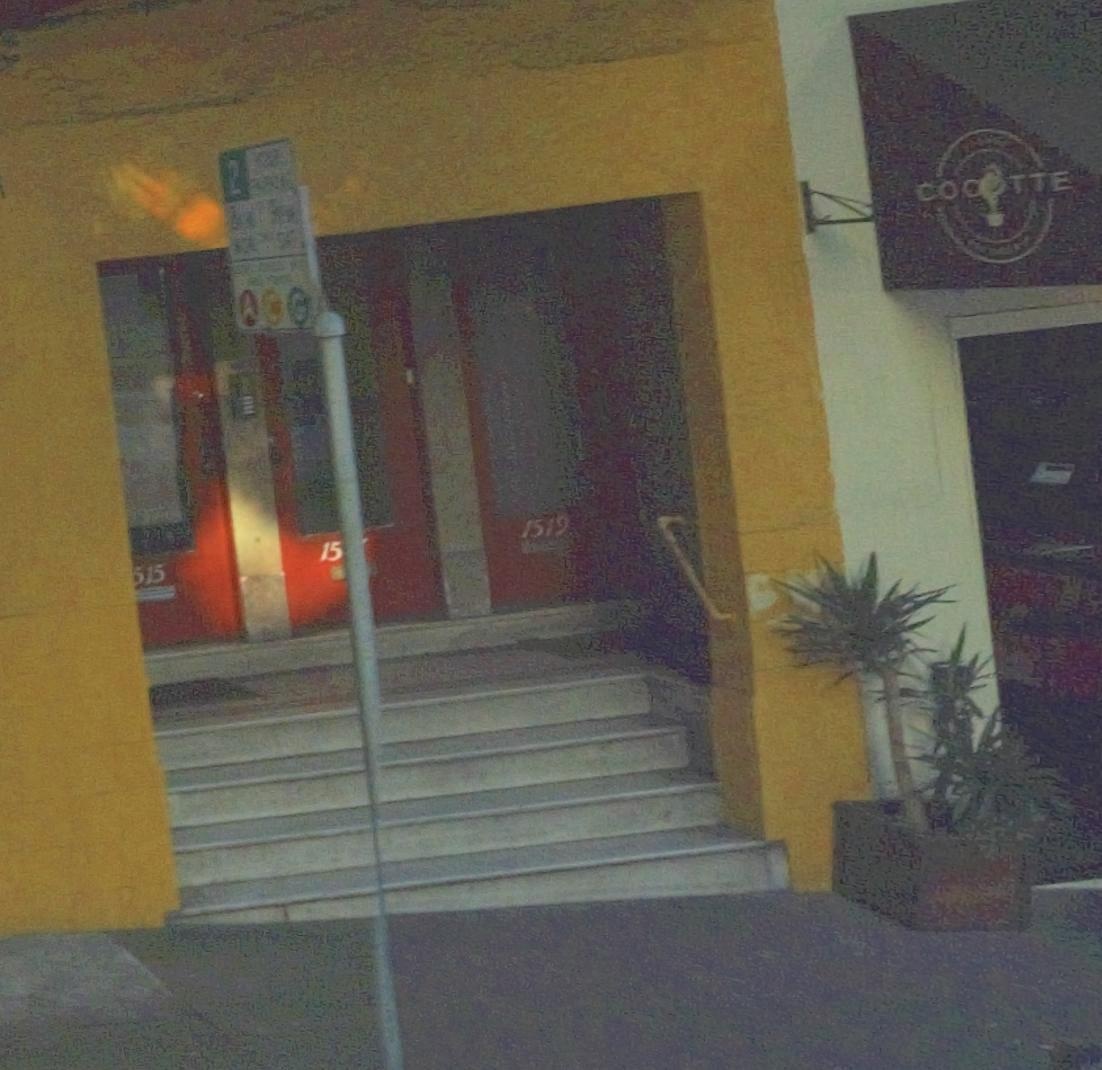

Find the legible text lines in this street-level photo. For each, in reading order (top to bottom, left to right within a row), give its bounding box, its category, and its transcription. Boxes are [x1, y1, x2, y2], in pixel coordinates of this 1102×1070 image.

[225, 157, 242, 196] None: 2
[911, 166, 1075, 203] BusinessName: COCOTTE
[239, 291, 311, 324] None: A C G
[518, 511, 575, 541] StreetNumber: 1519
[318, 536, 372, 565] StreetNumber: 15**
[131, 561, 169, 588] StreetNumber: 515